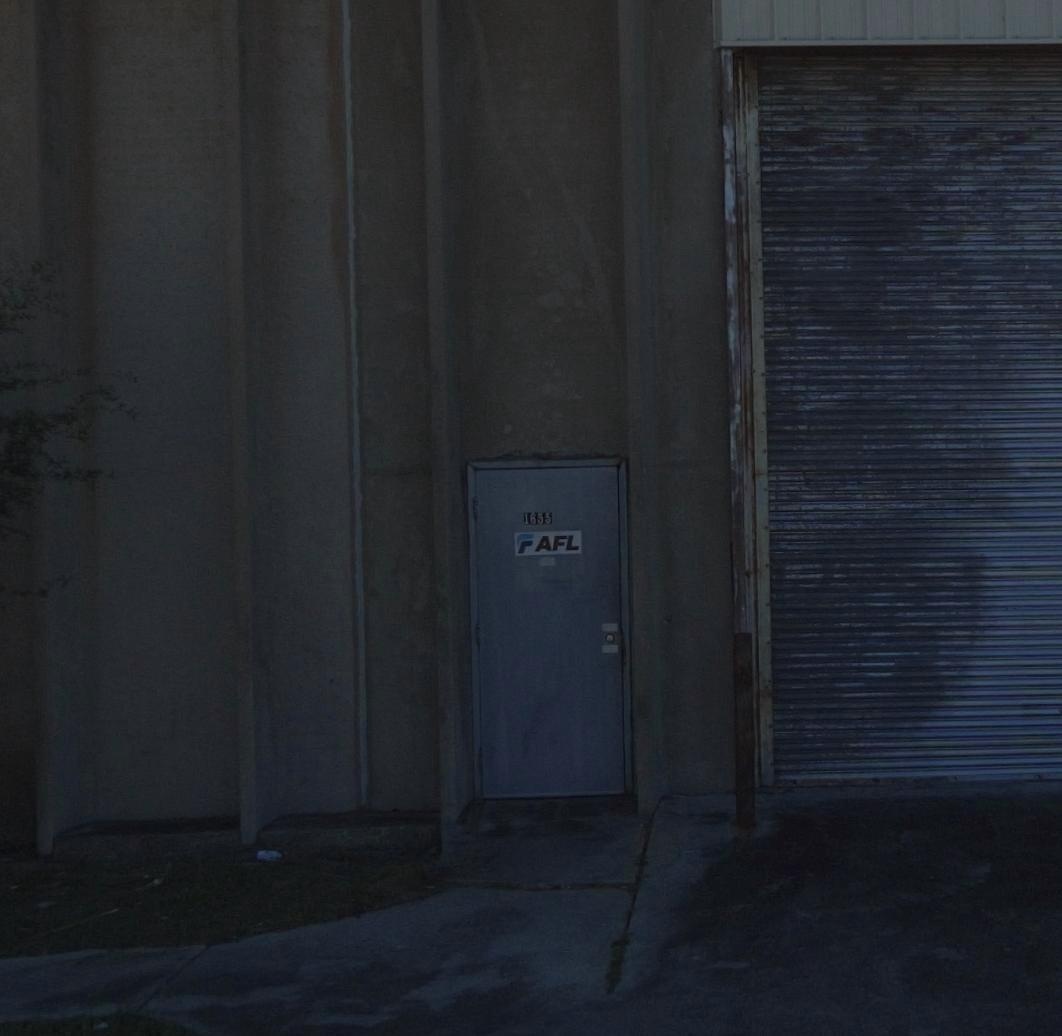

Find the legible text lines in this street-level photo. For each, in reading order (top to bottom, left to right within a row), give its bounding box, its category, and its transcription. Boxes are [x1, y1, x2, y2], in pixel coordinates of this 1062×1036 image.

[522, 511, 553, 527] StreetNumber: 1655
[514, 531, 581, 556] None: FAFL